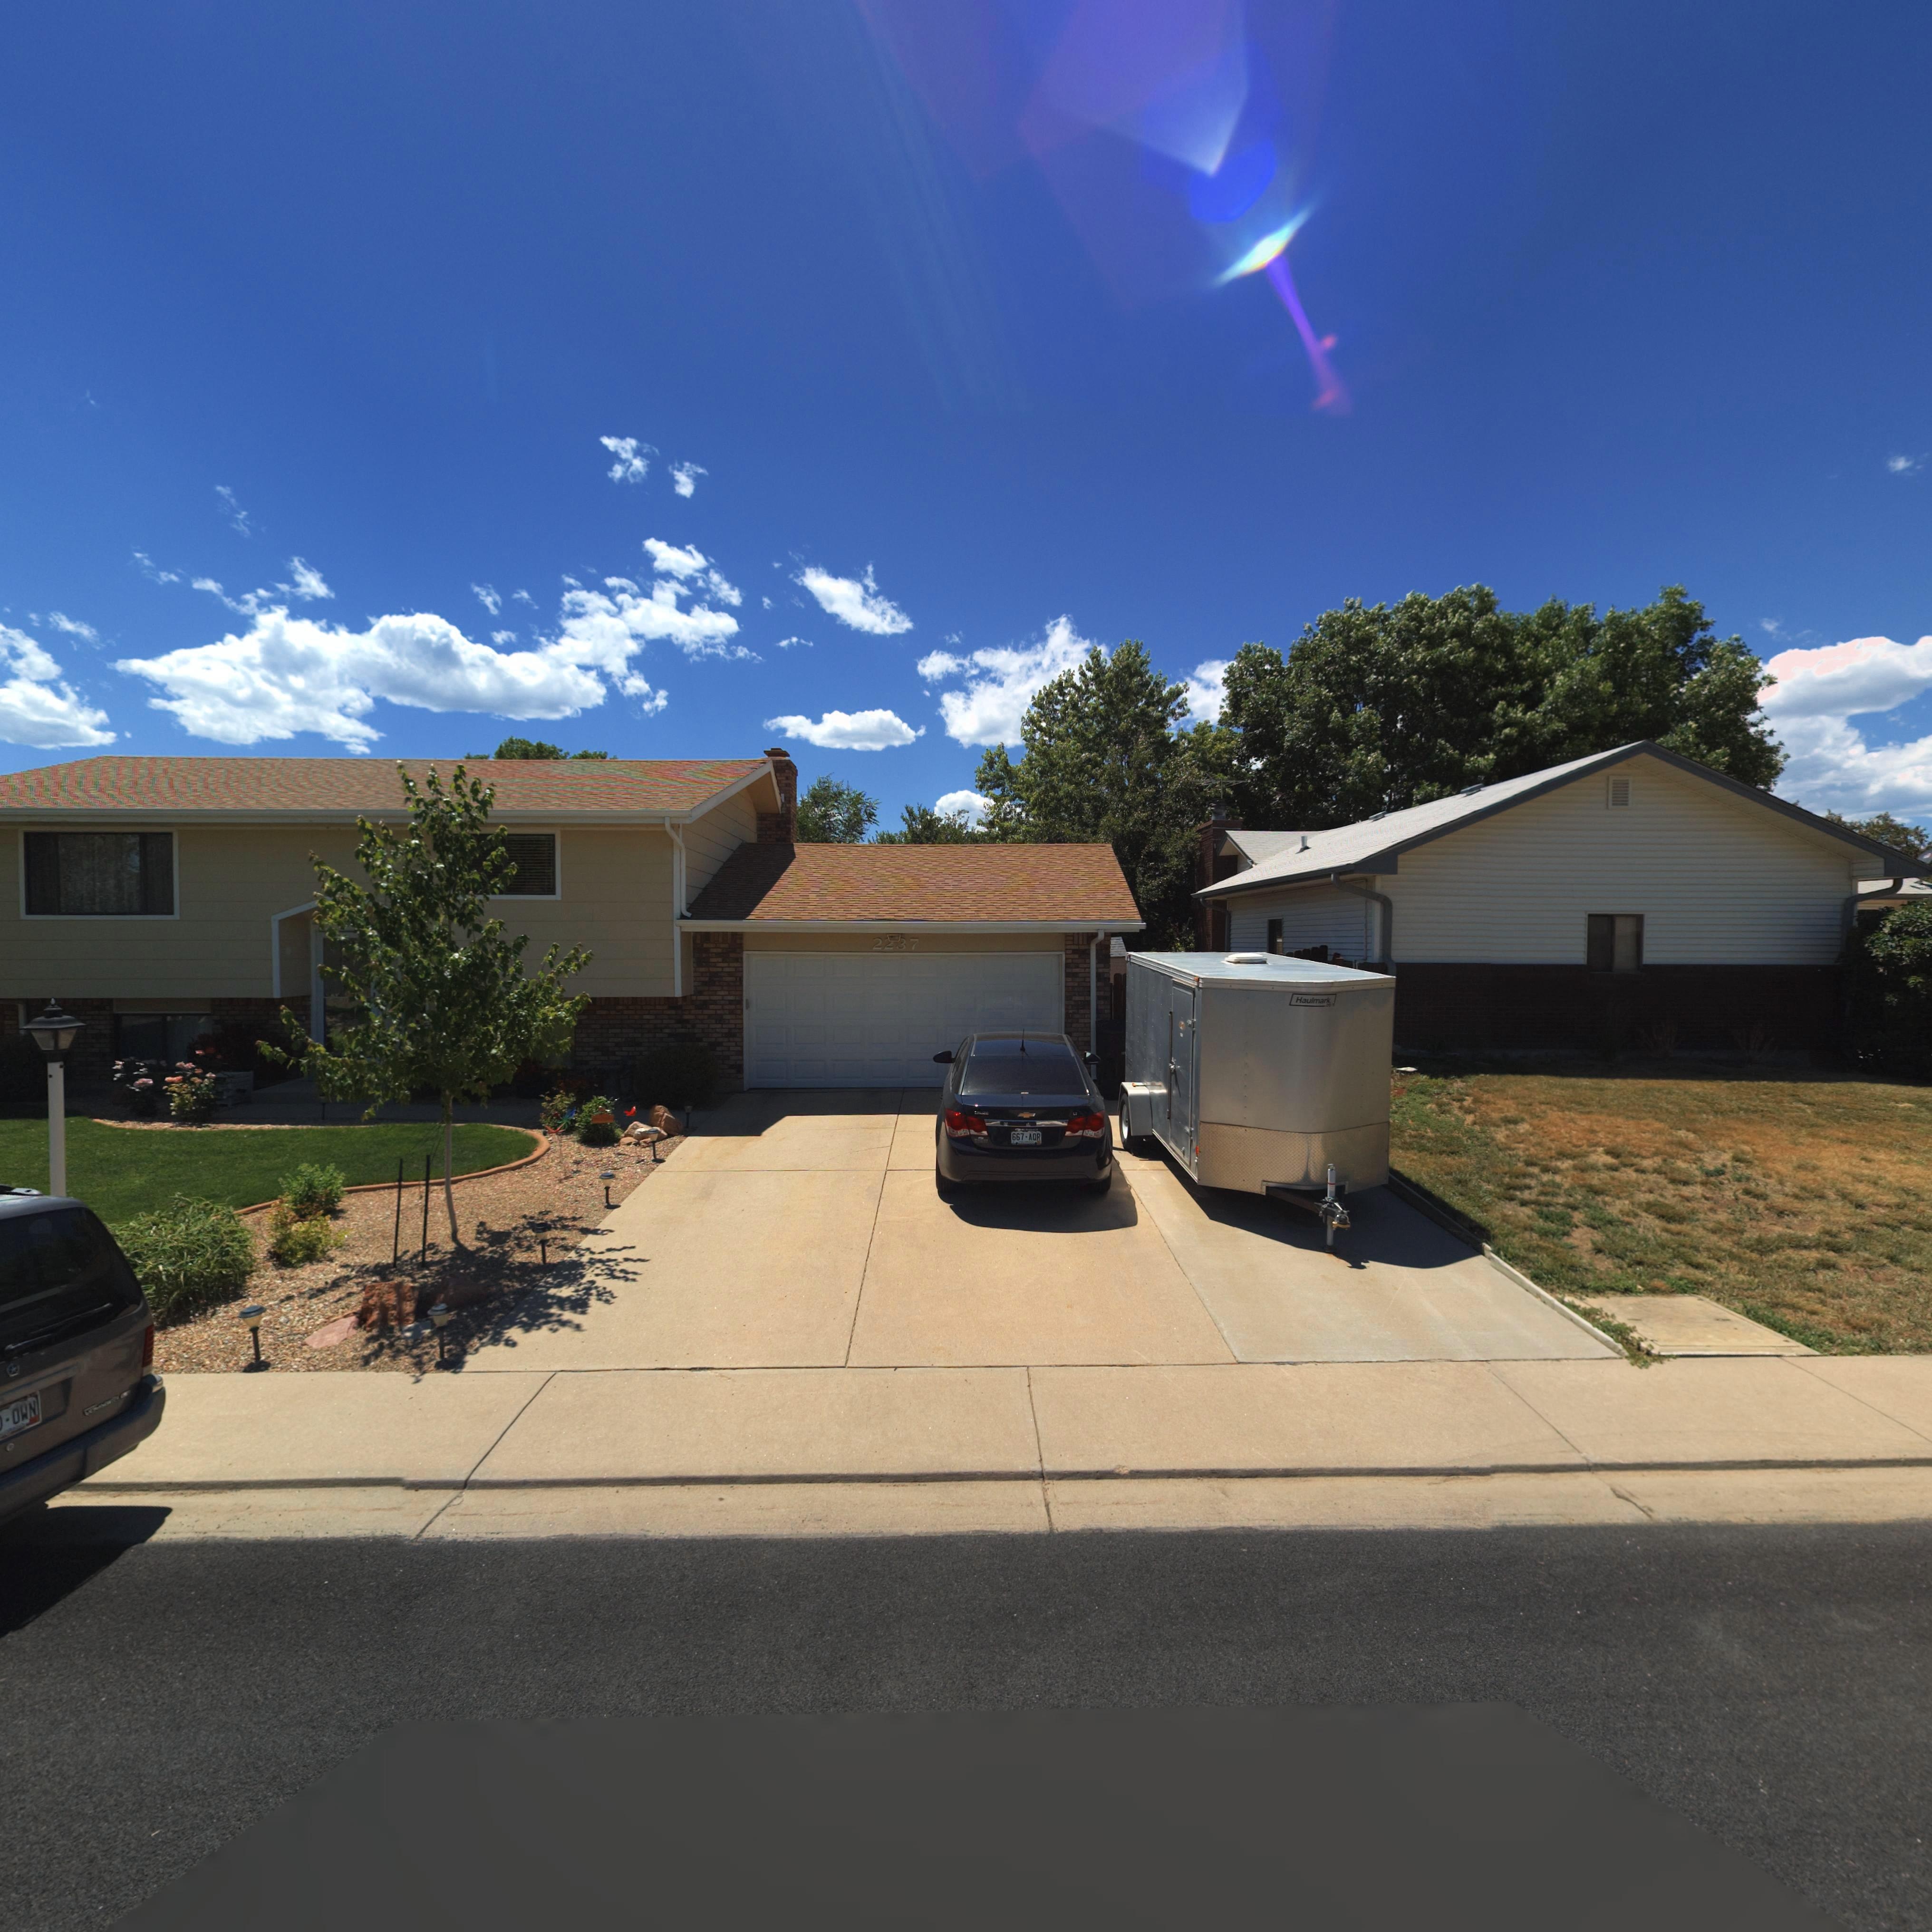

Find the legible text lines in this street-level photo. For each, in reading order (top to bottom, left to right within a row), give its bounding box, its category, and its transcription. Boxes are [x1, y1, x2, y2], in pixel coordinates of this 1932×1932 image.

[872, 937, 920, 951] StreetNumber: 2**7